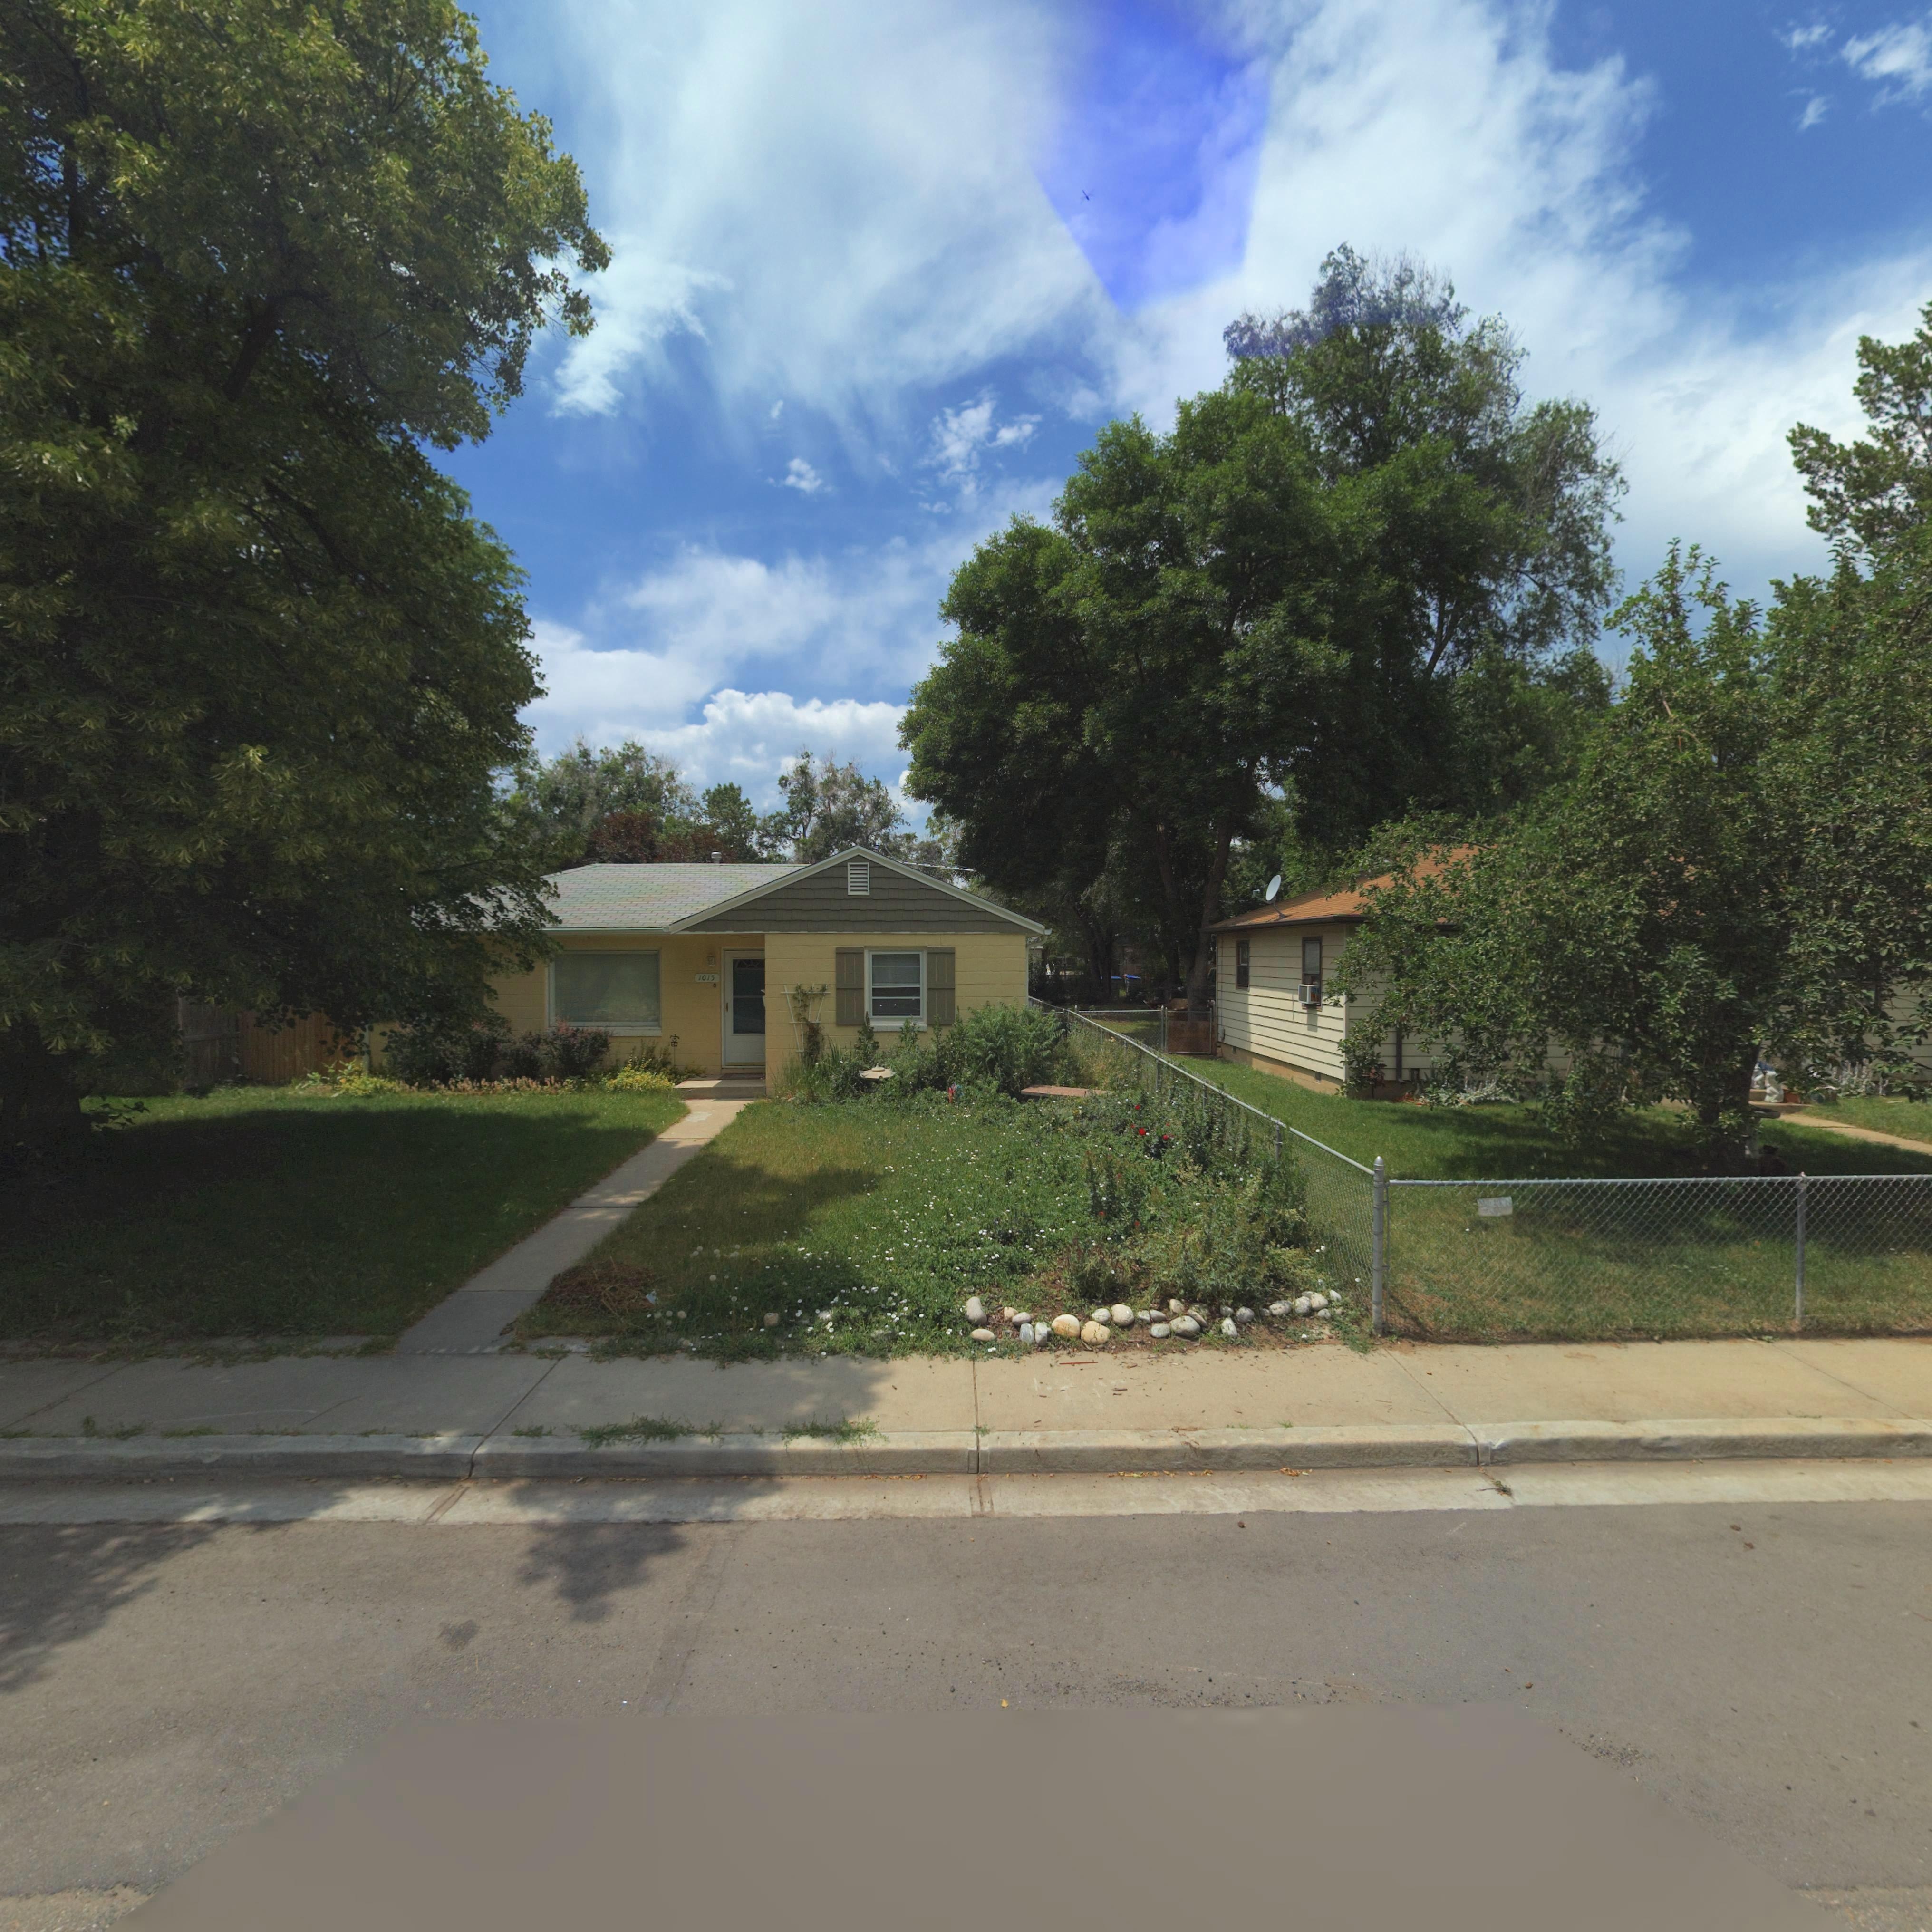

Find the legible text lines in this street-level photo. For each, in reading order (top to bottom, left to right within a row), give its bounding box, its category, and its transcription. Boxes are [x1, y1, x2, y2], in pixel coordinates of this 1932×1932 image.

[698, 975, 715, 981] StreetNumber: 1015